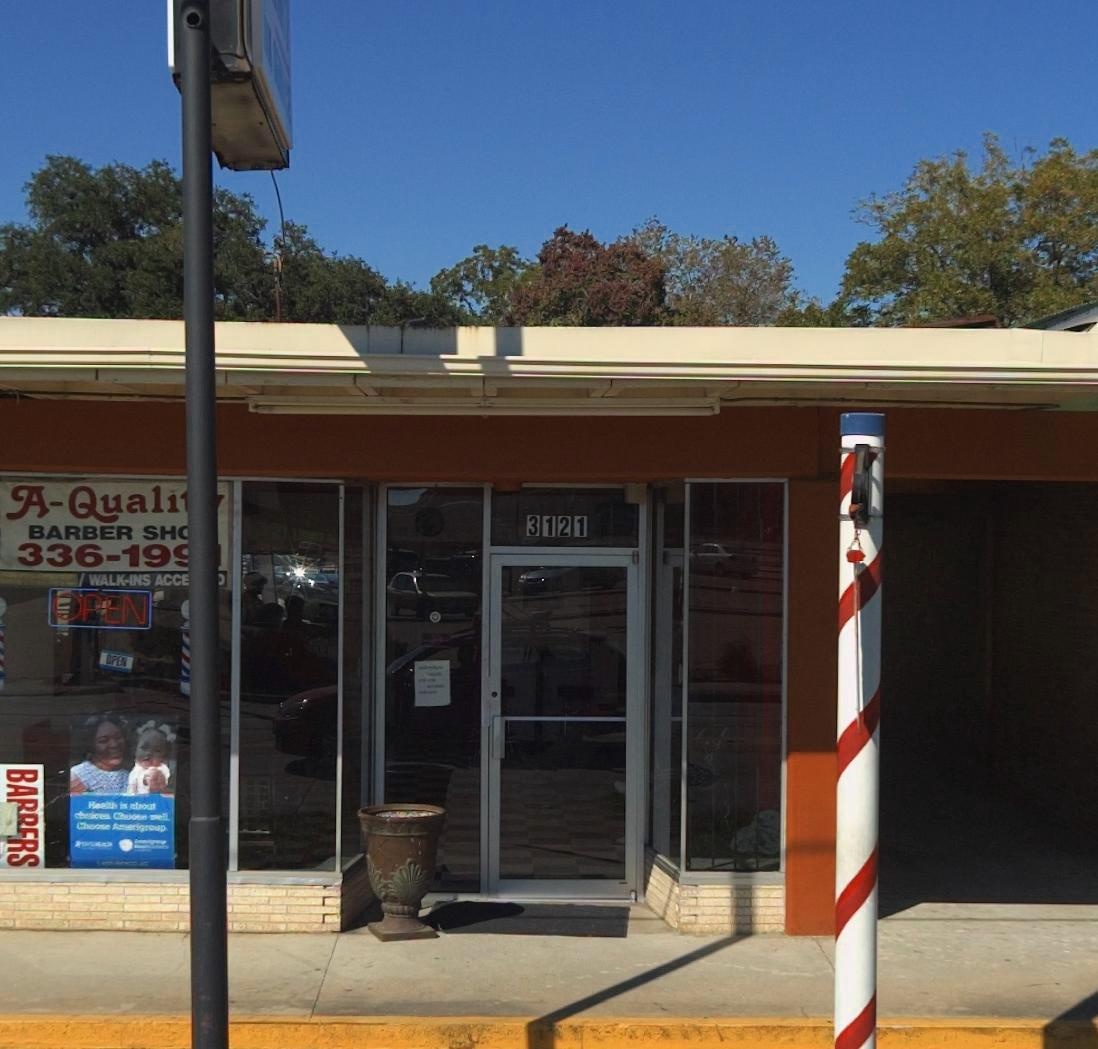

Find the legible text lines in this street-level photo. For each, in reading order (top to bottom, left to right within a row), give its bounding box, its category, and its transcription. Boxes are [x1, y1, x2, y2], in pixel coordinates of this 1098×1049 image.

[2, 481, 185, 526] BusinessName: A-Quali
[26, 522, 179, 542] BusinessName: BARBER SH
[526, 513, 587, 539] StreetNumber: 3121
[14, 539, 174, 571] None: 336-19
[85, 570, 191, 588] None: WALK-INS ACCE
[46, 586, 153, 631] None: OPEN
[104, 652, 129, 670] None: OPEN
[2, 765, 43, 871] None: BA***RS